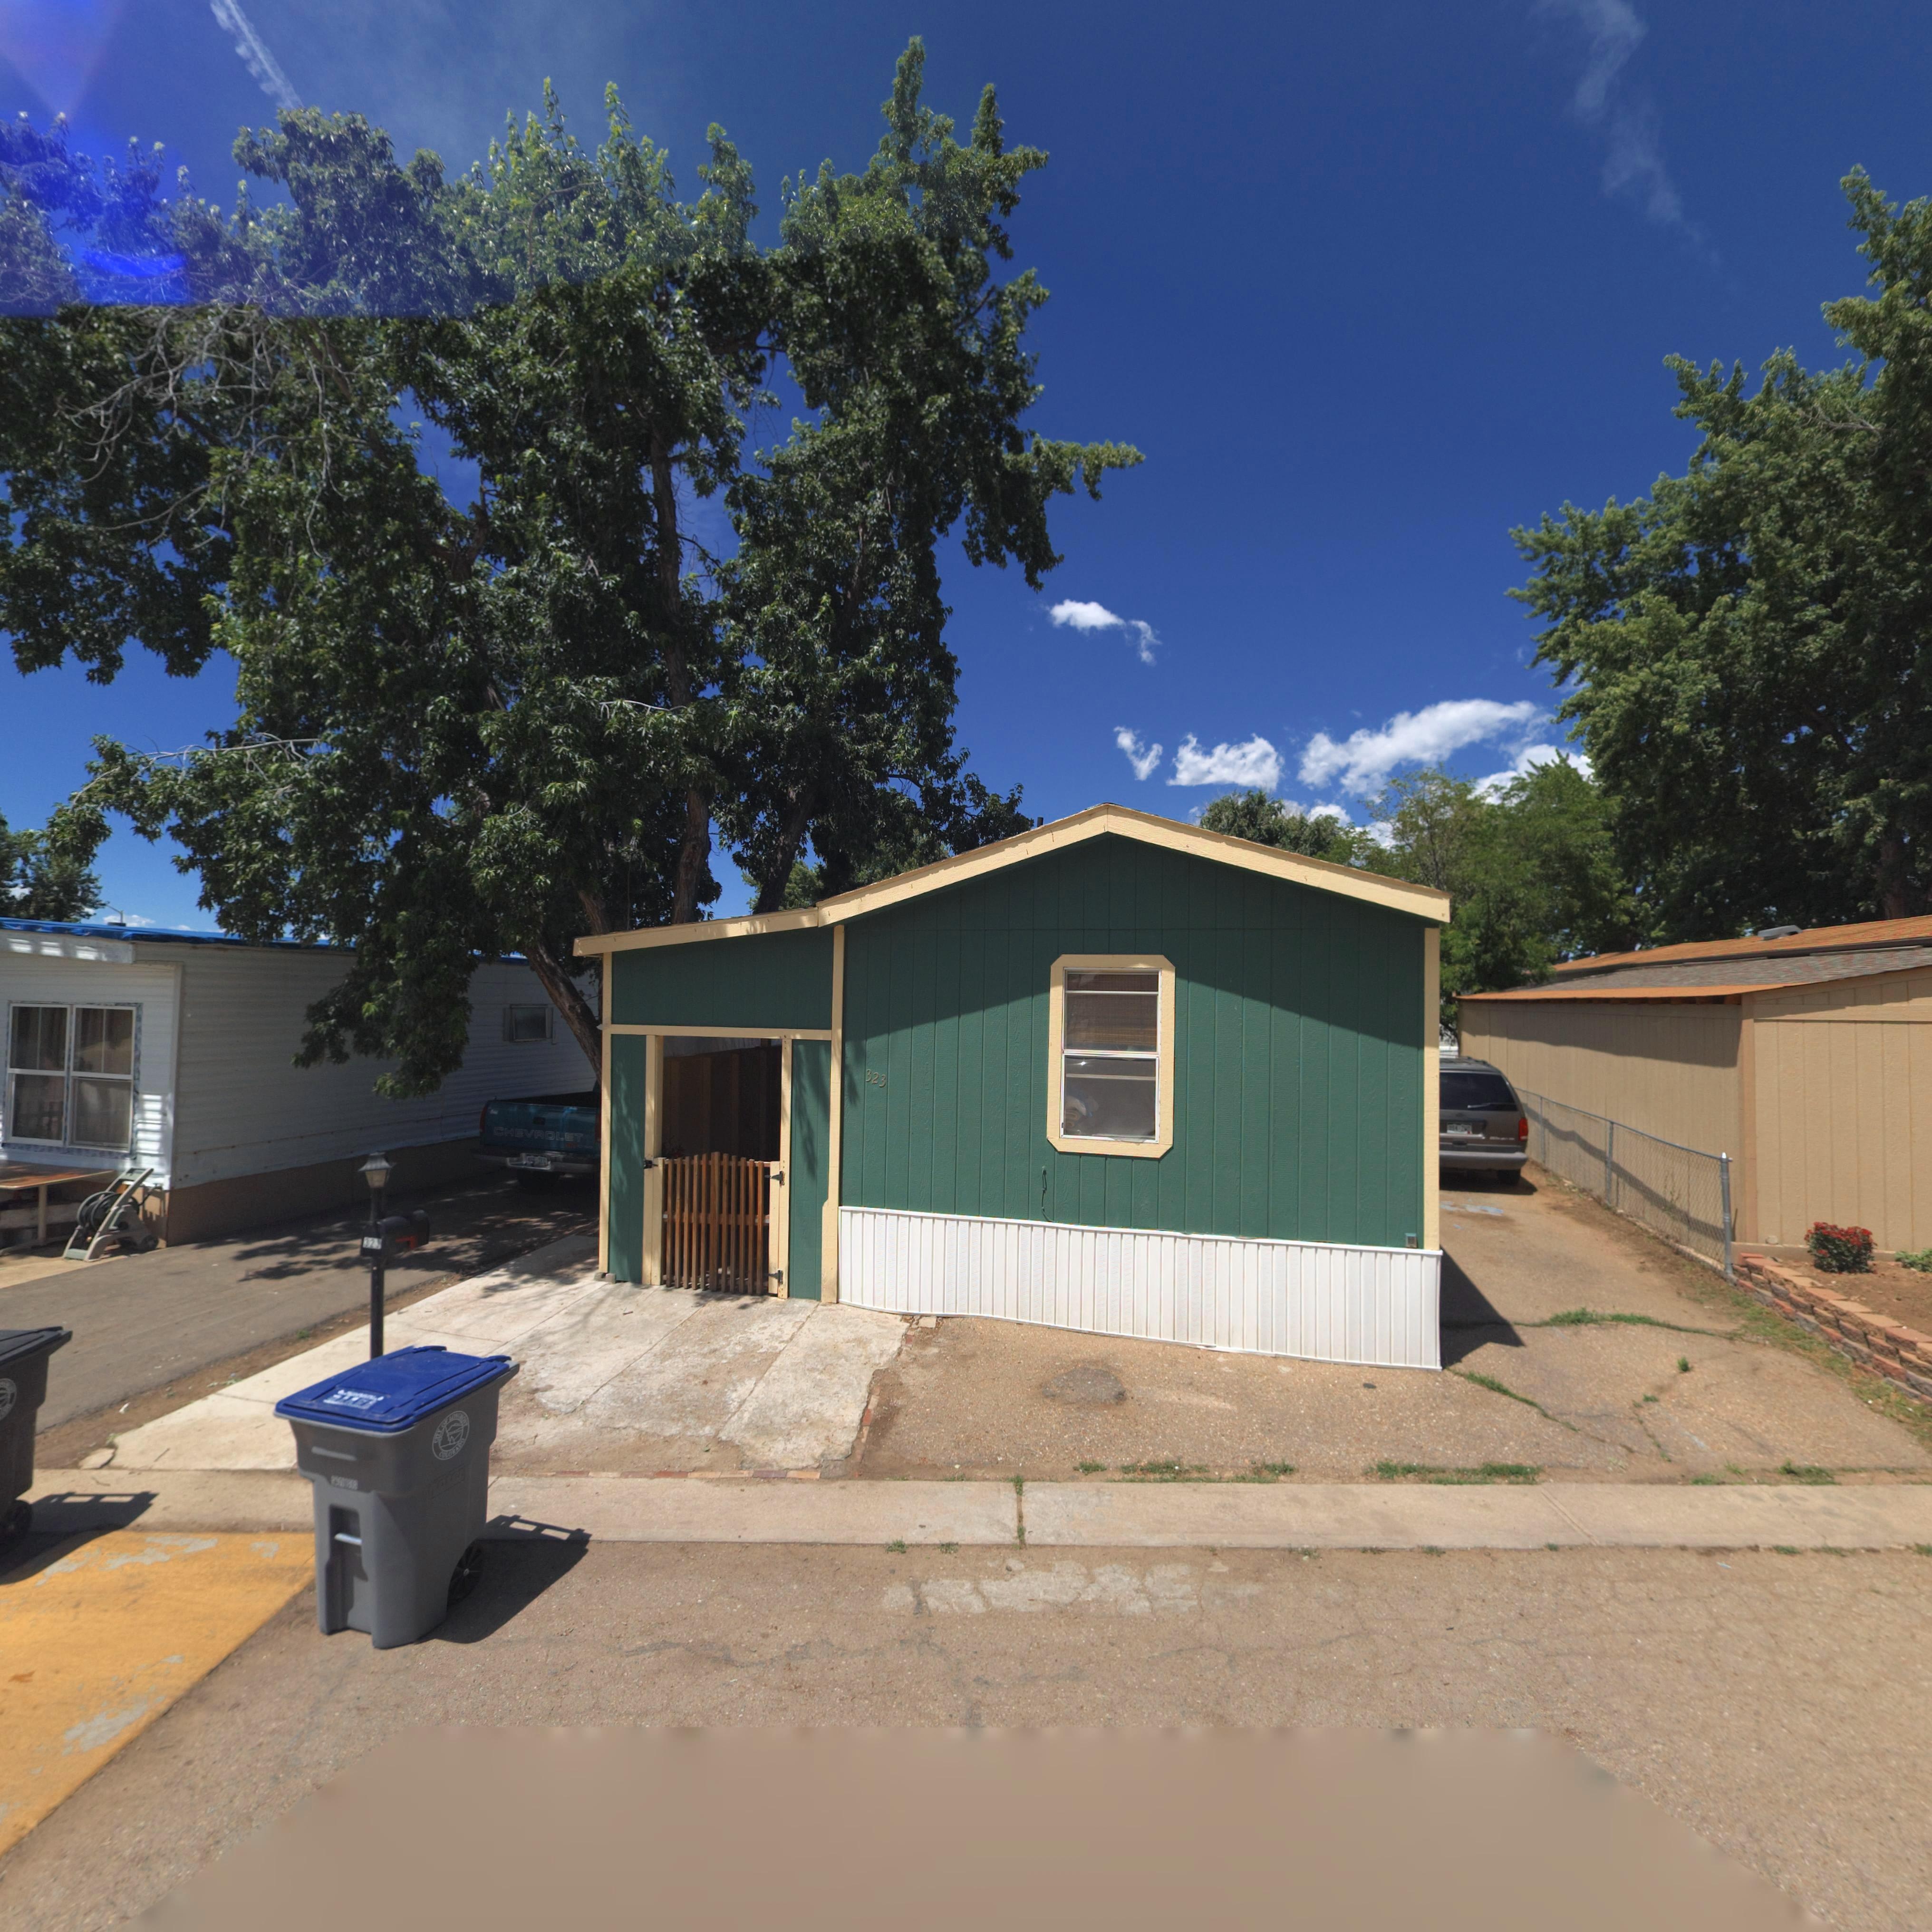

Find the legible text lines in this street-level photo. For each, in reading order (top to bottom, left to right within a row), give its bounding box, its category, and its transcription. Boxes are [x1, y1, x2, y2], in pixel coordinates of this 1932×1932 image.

[865, 1068, 886, 1087] StreetNumber: 323
[363, 1237, 380, 1249] StreetNumber: 32*